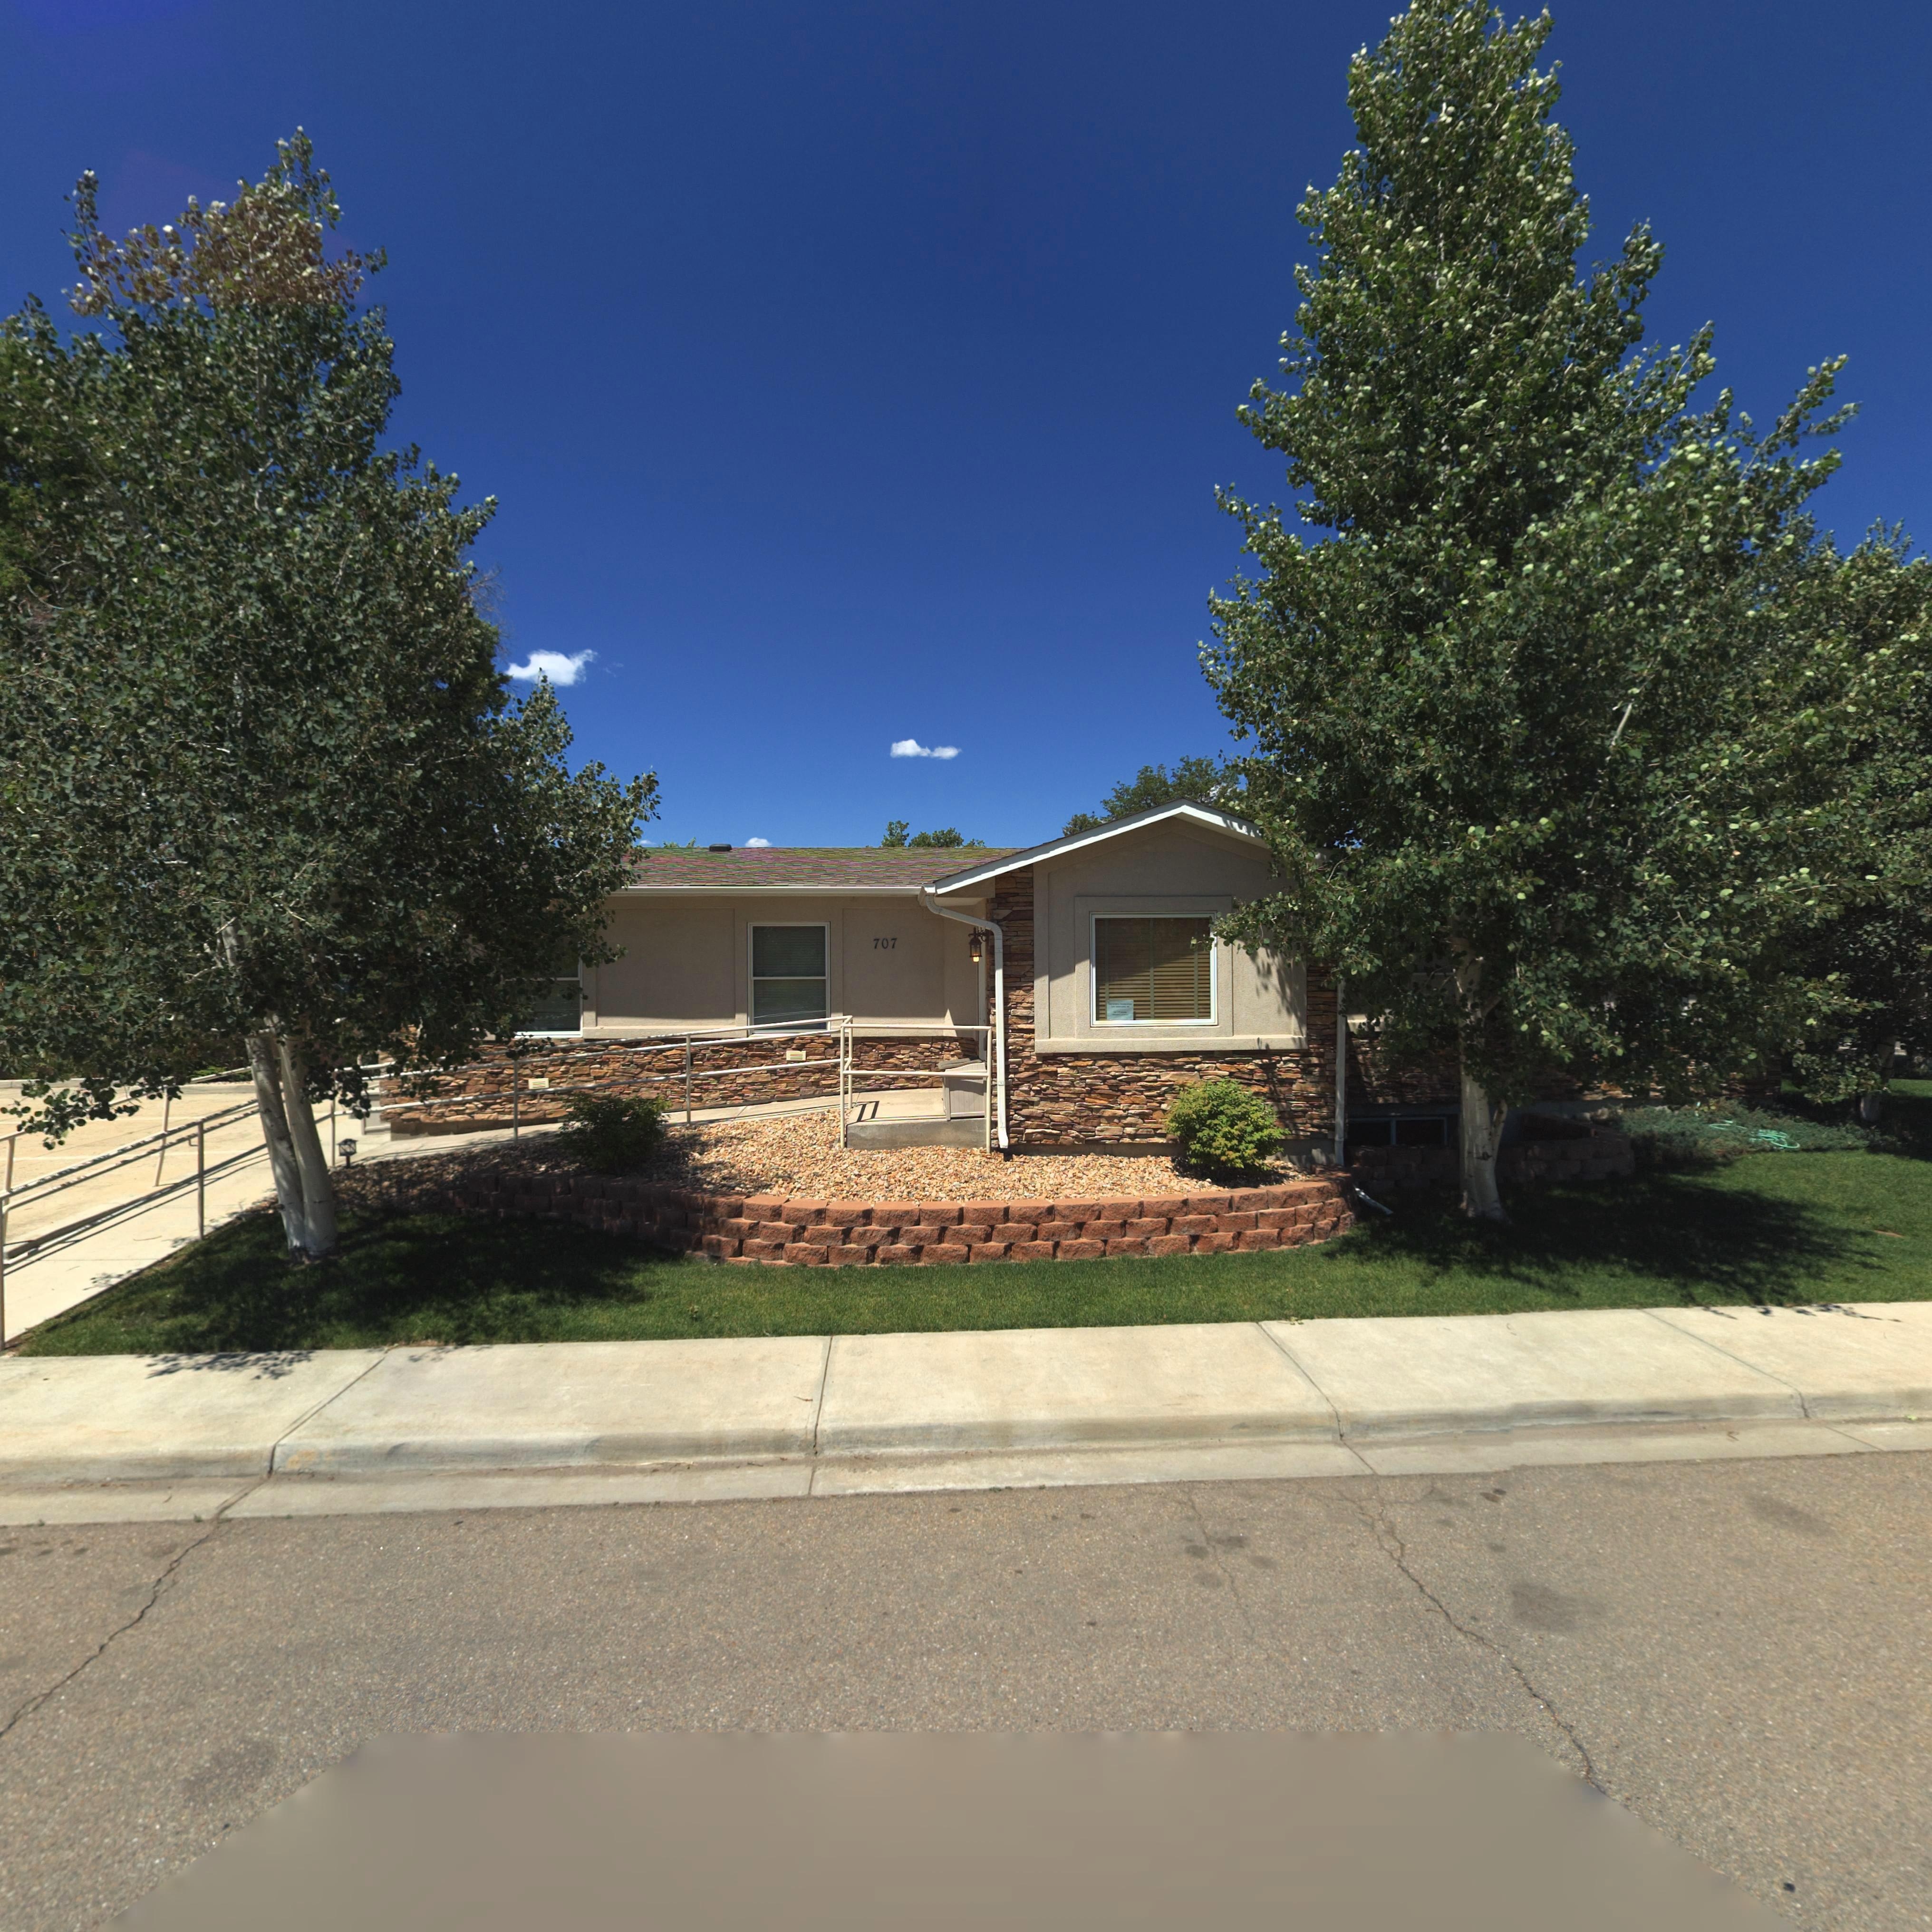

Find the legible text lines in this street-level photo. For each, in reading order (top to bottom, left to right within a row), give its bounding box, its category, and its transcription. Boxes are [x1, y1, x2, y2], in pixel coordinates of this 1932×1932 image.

[872, 937, 898, 949] StreetNumber: 707